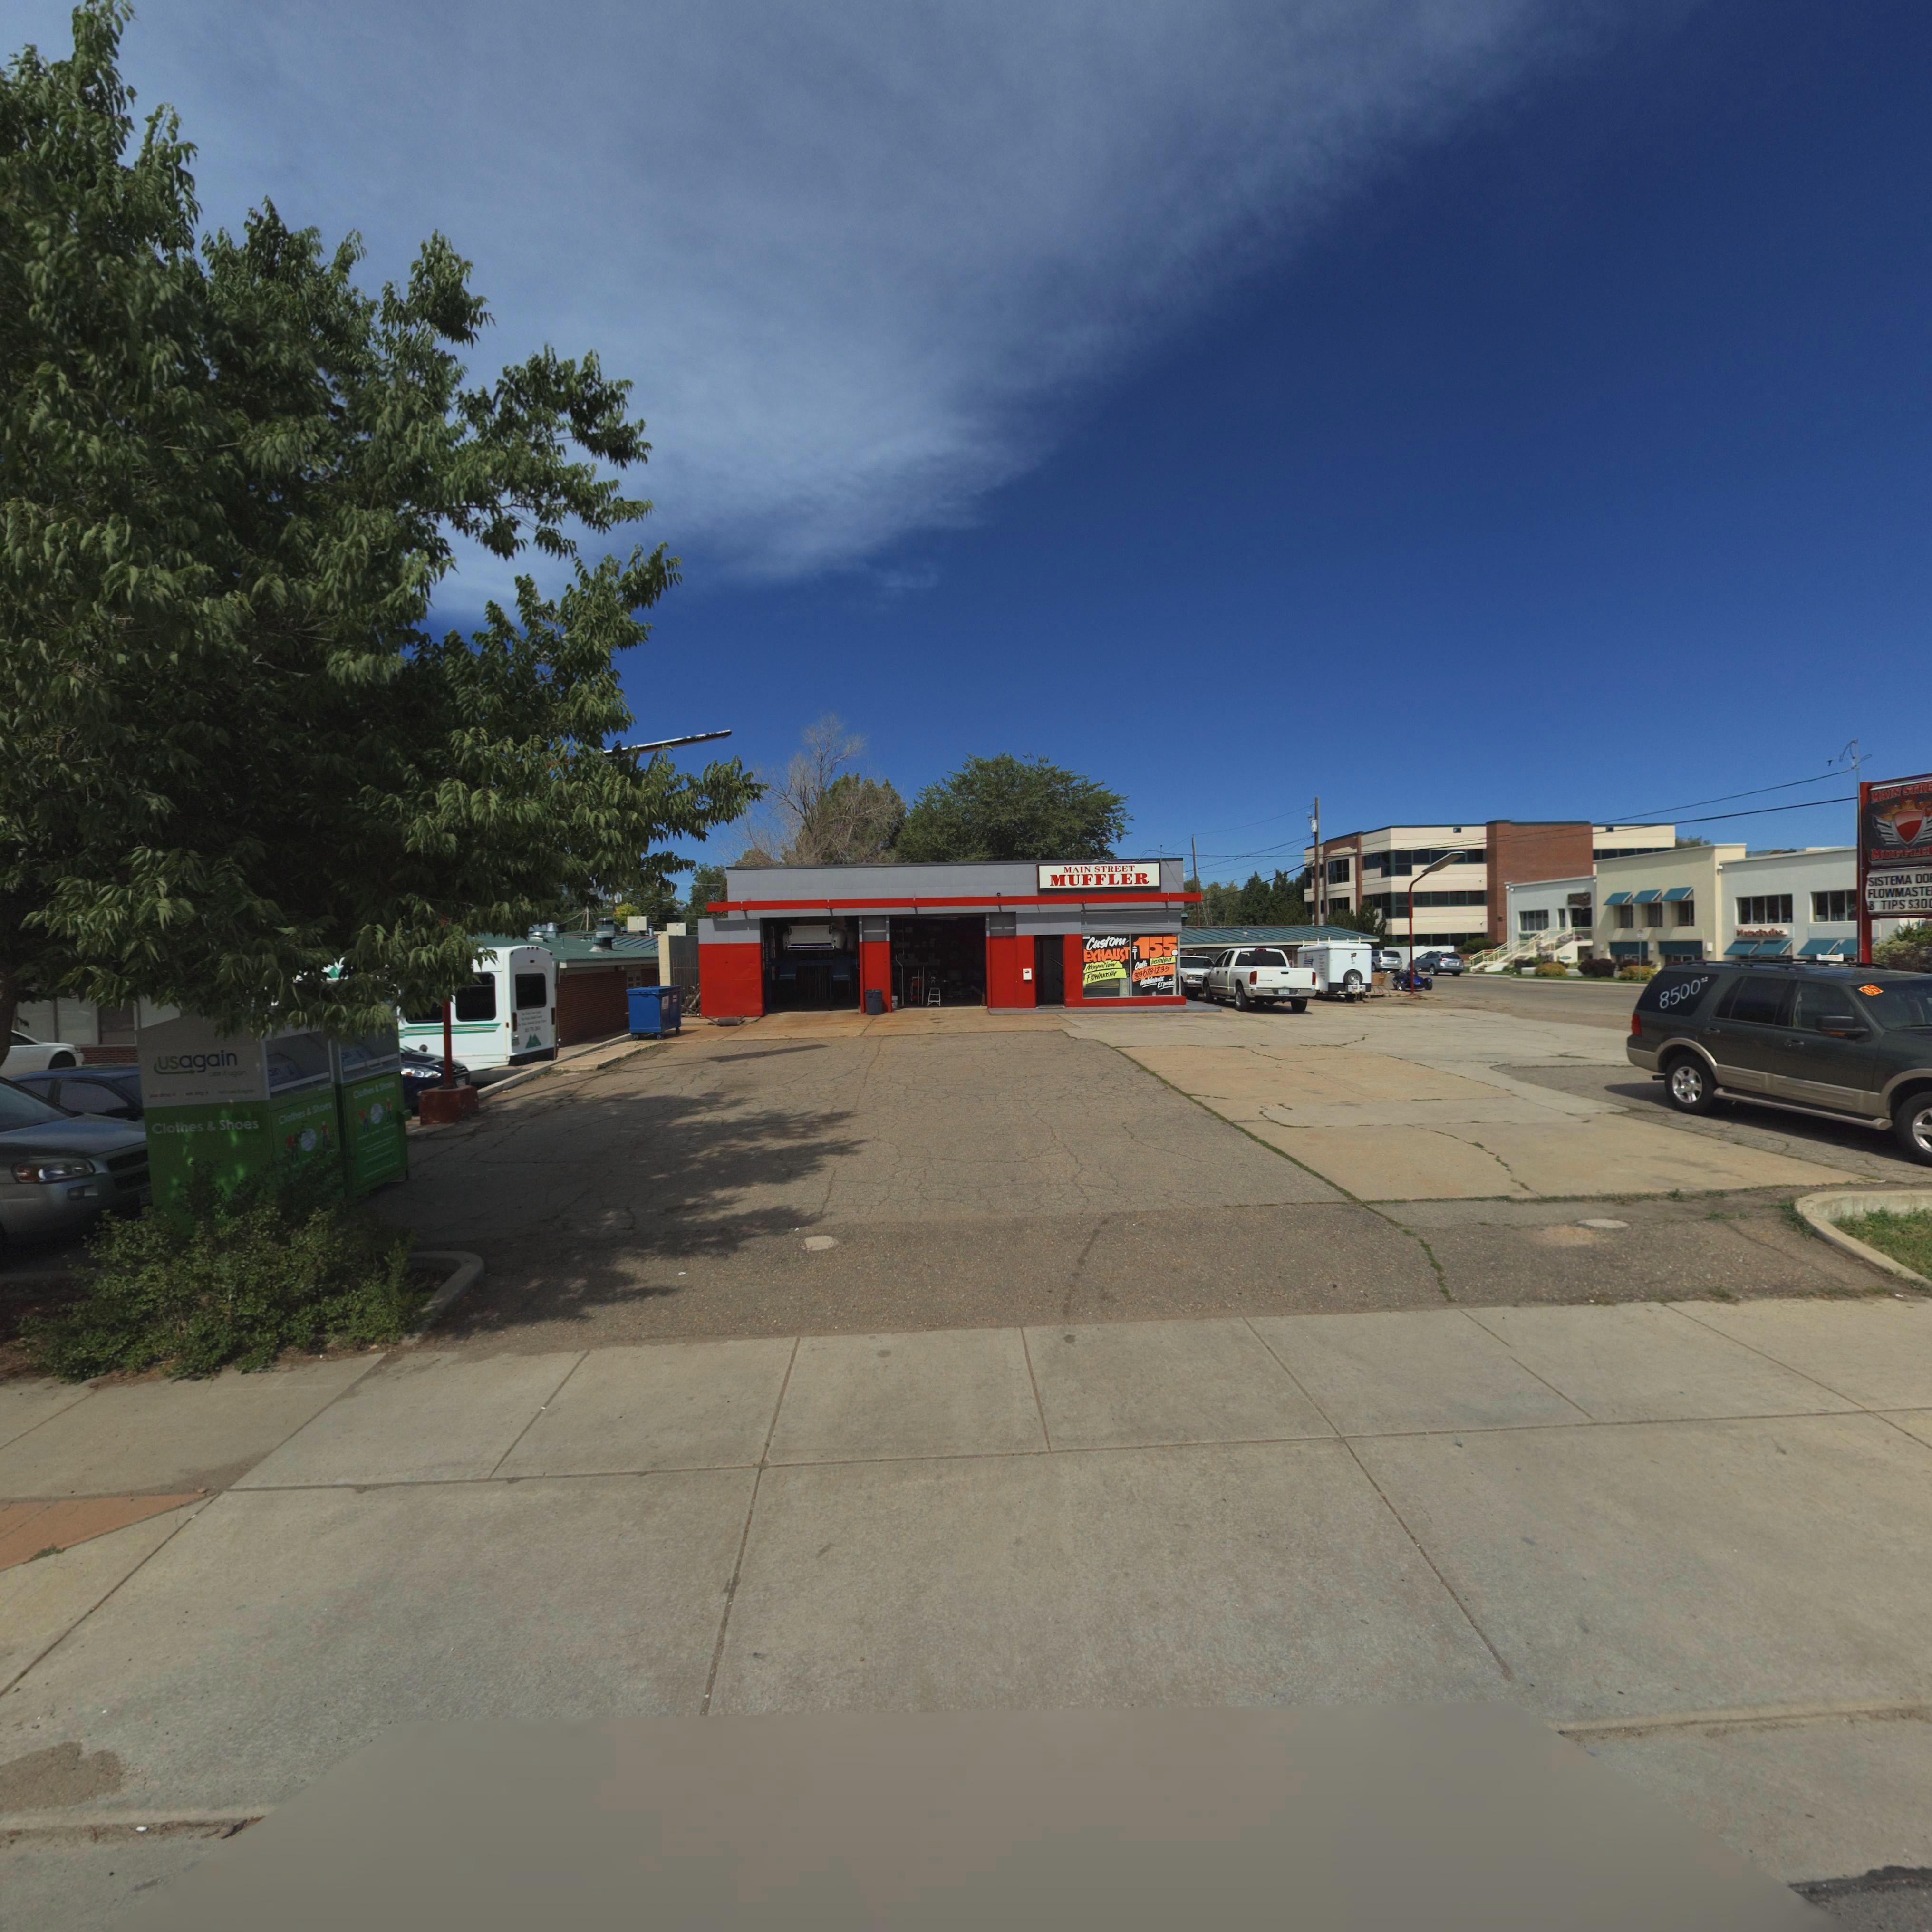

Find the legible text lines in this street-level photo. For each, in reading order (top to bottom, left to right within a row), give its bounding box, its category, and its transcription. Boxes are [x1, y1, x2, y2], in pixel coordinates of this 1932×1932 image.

[1869, 782, 1925, 805] BusinessName: MAIN STR
[1870, 846, 1928, 860] BusinessName: MUFFLE
[1063, 864, 1135, 873] BusinessName: MAIN STREET
[1049, 872, 1150, 886] BusinessName: MUFFLER